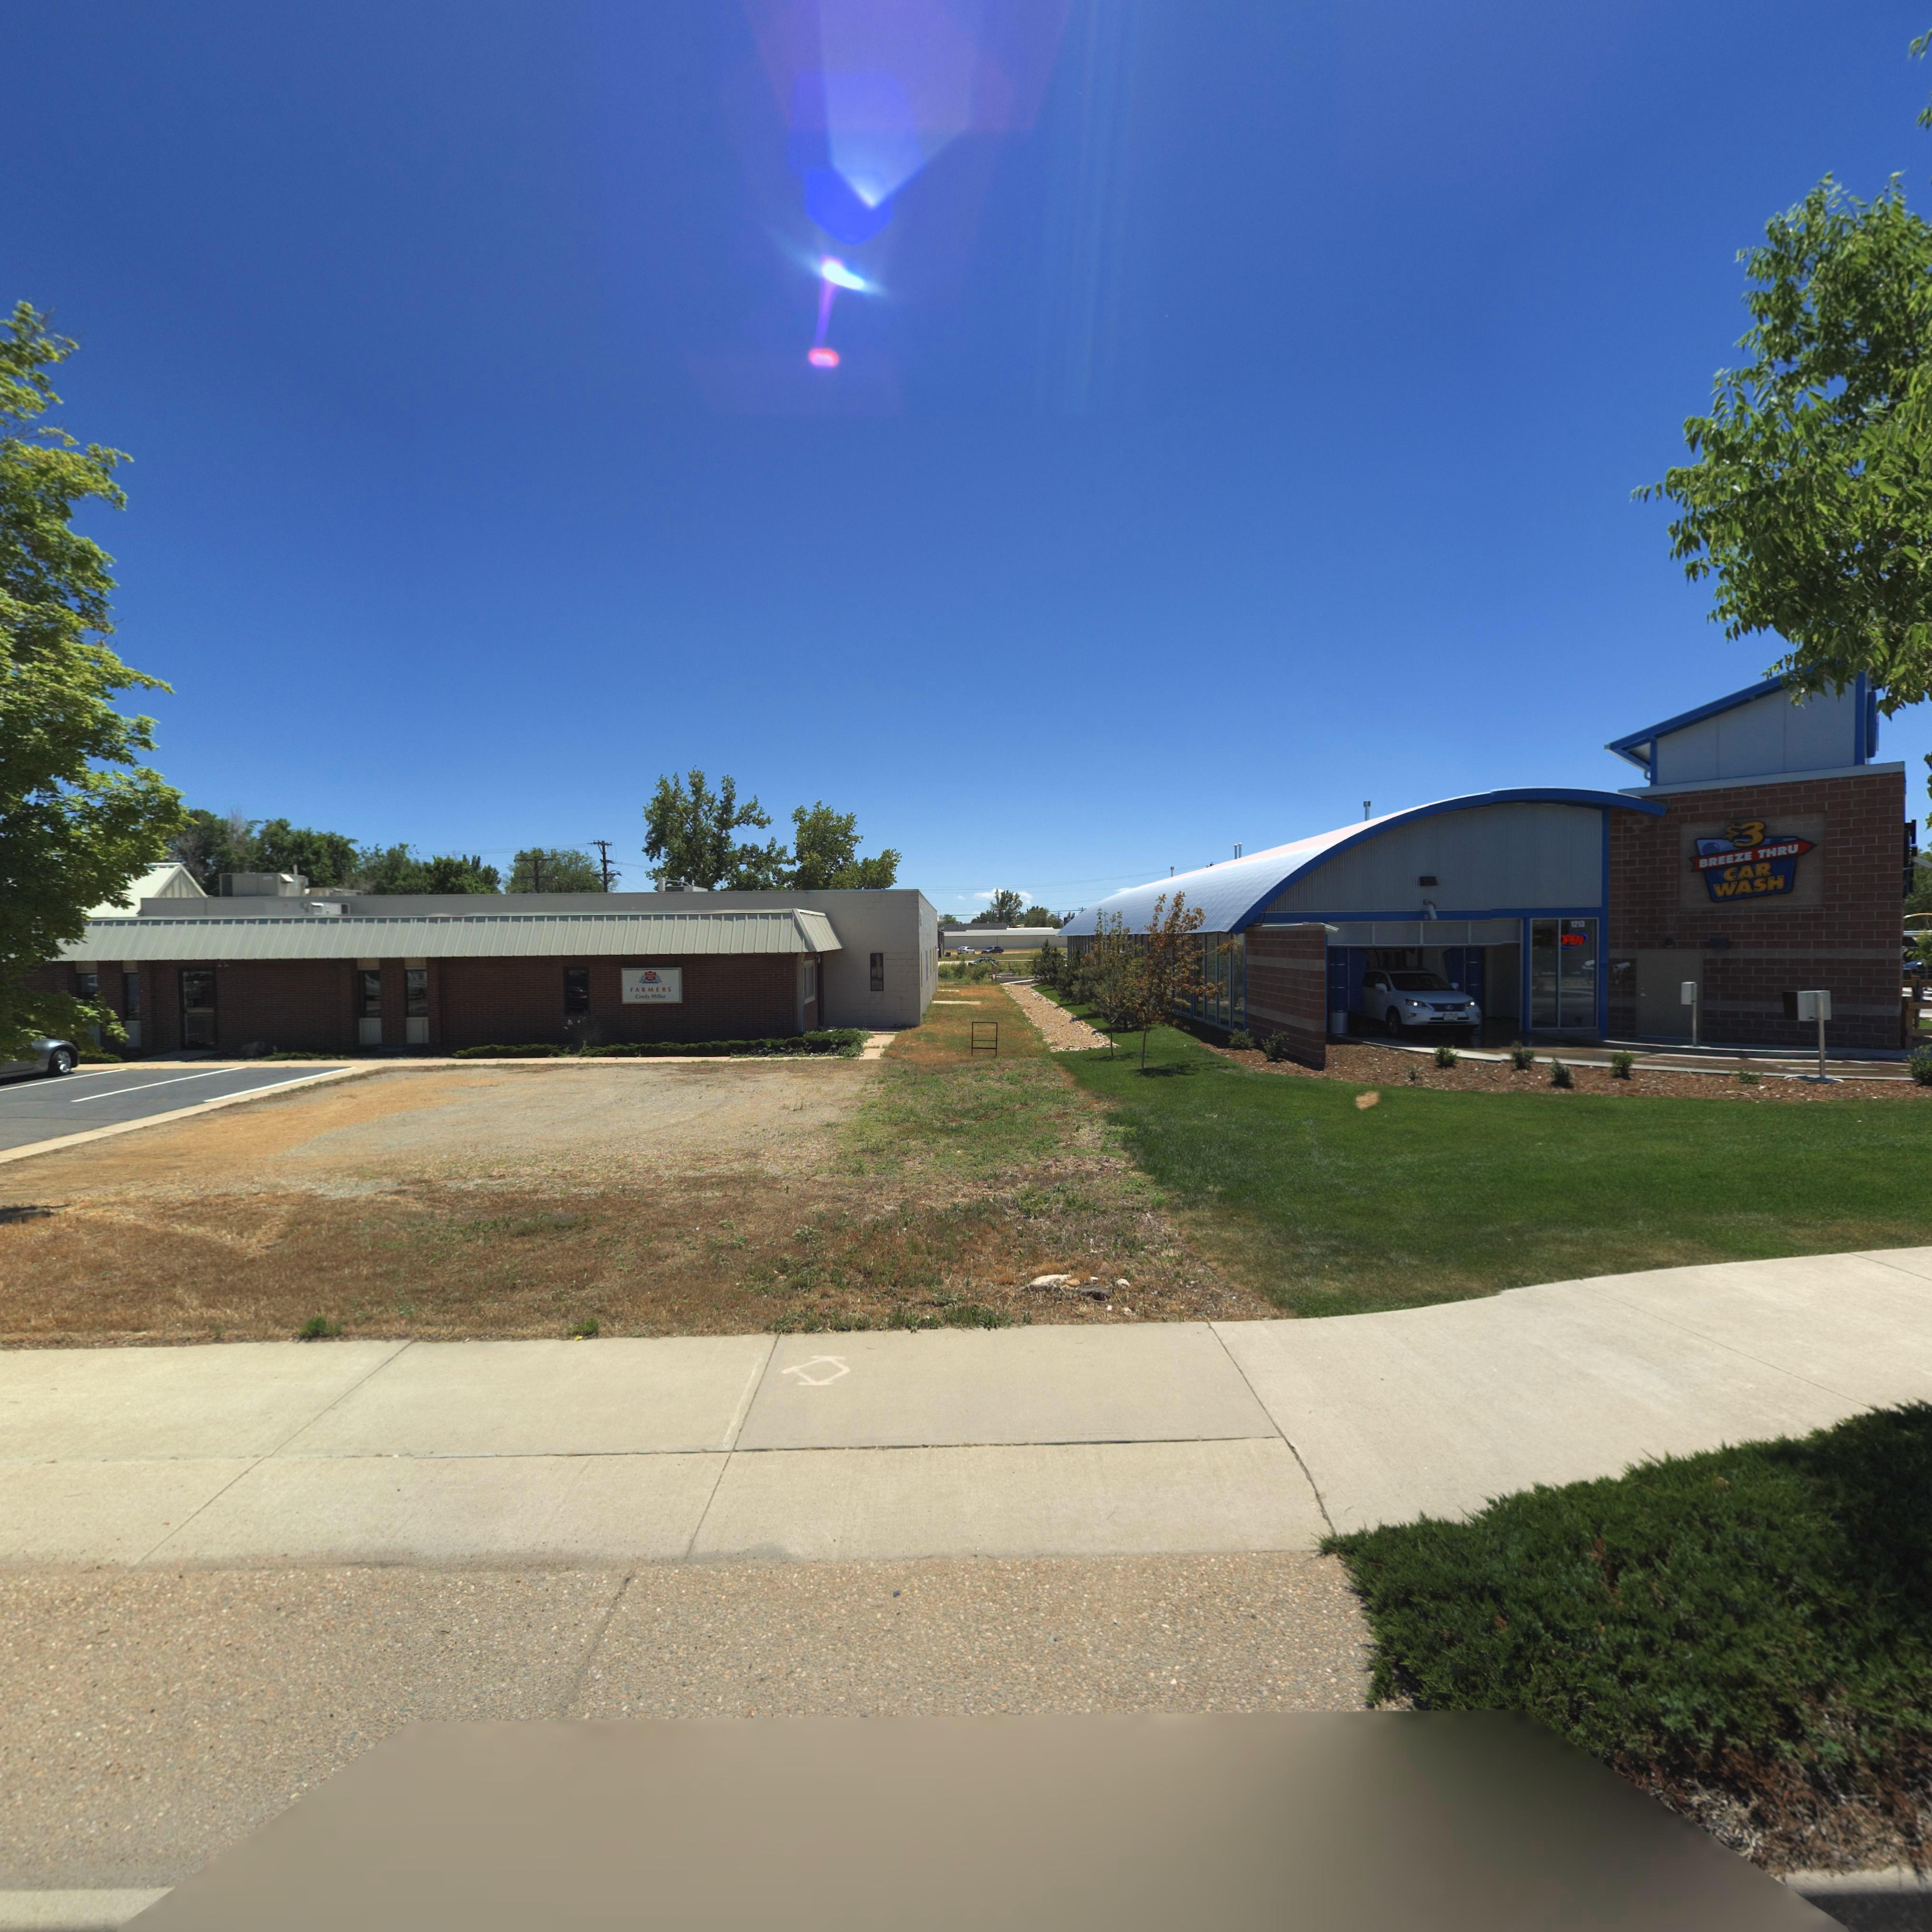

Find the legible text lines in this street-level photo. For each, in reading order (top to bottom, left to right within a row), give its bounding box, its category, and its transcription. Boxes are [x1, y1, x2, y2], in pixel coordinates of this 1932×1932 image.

[1698, 843, 1798, 869] BusinessName: BREEZE THRU
[1722, 862, 1772, 881] BusinessName: CAR
[1711, 874, 1785, 898] BusinessName: WASH
[1570, 920, 1585, 927] StreetNumber: 1213
[629, 986, 671, 992] BusinessName: FARMERS